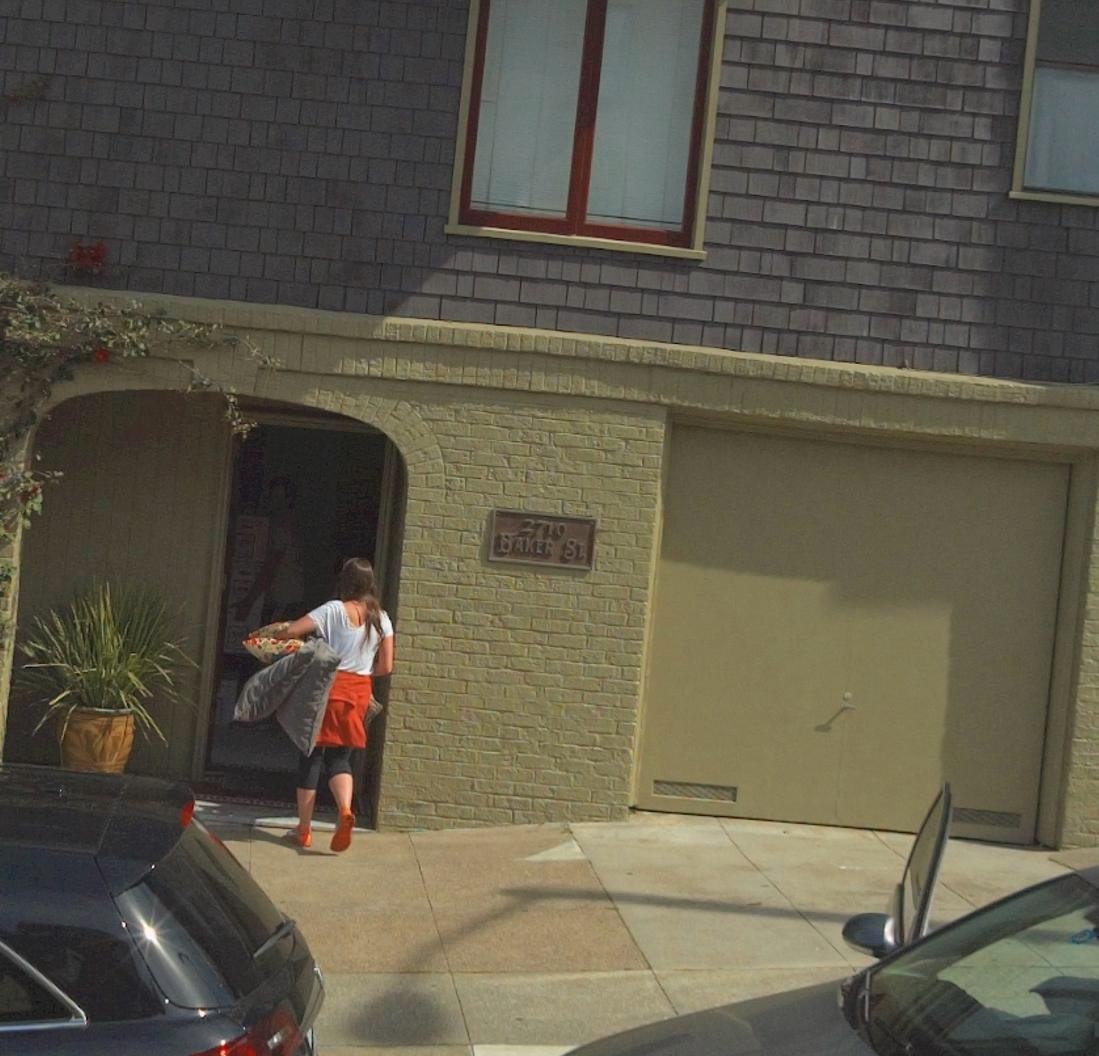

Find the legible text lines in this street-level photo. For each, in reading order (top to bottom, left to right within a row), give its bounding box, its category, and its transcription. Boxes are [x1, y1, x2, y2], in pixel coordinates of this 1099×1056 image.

[517, 516, 568, 540] StreetNumber: 2710
[497, 530, 589, 562] None: BAKER ST.